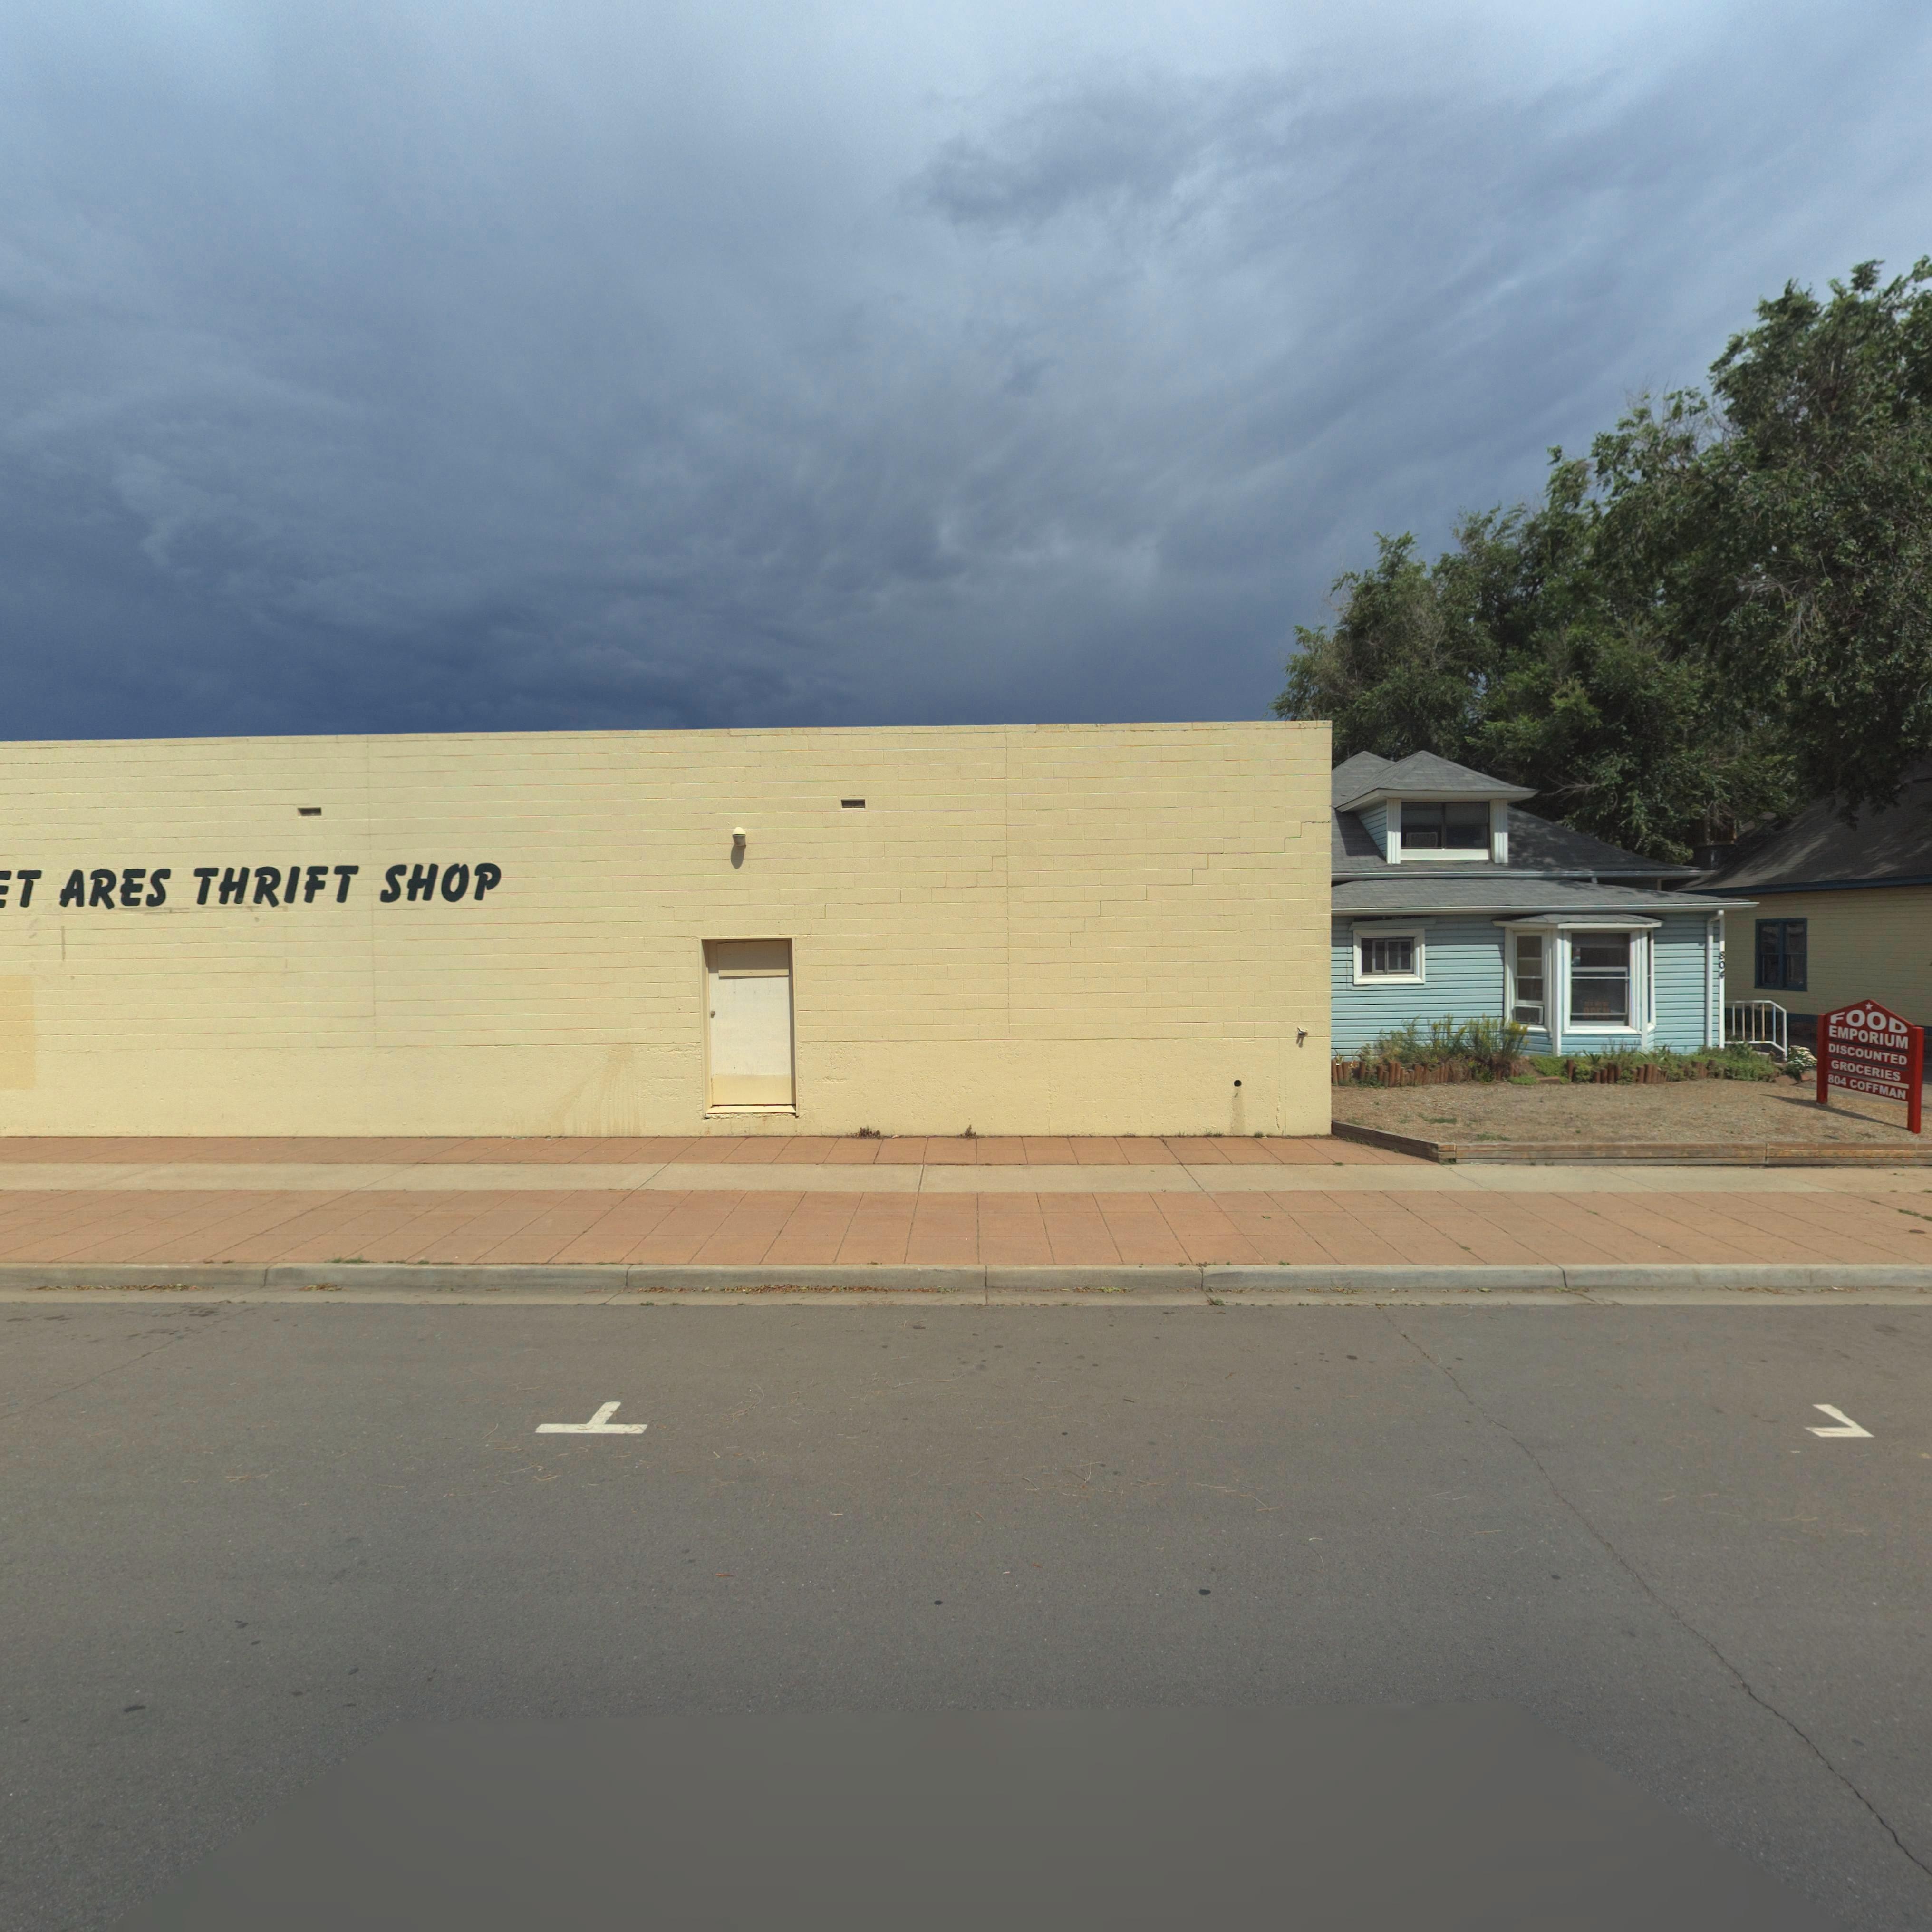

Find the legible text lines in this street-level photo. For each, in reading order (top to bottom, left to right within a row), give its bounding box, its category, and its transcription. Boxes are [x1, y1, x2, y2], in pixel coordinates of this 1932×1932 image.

[13, 860, 504, 909] BusinessName: T ARES THRIFT SHOP
[1718, 950, 1726, 980] StreetNumber: 804
[1829, 1008, 1909, 1034] BusinessName: FOOD
[1828, 1024, 1909, 1050] StreetName: EMPORIUM
[1827, 1072, 1847, 1088] StreetNumber: 804